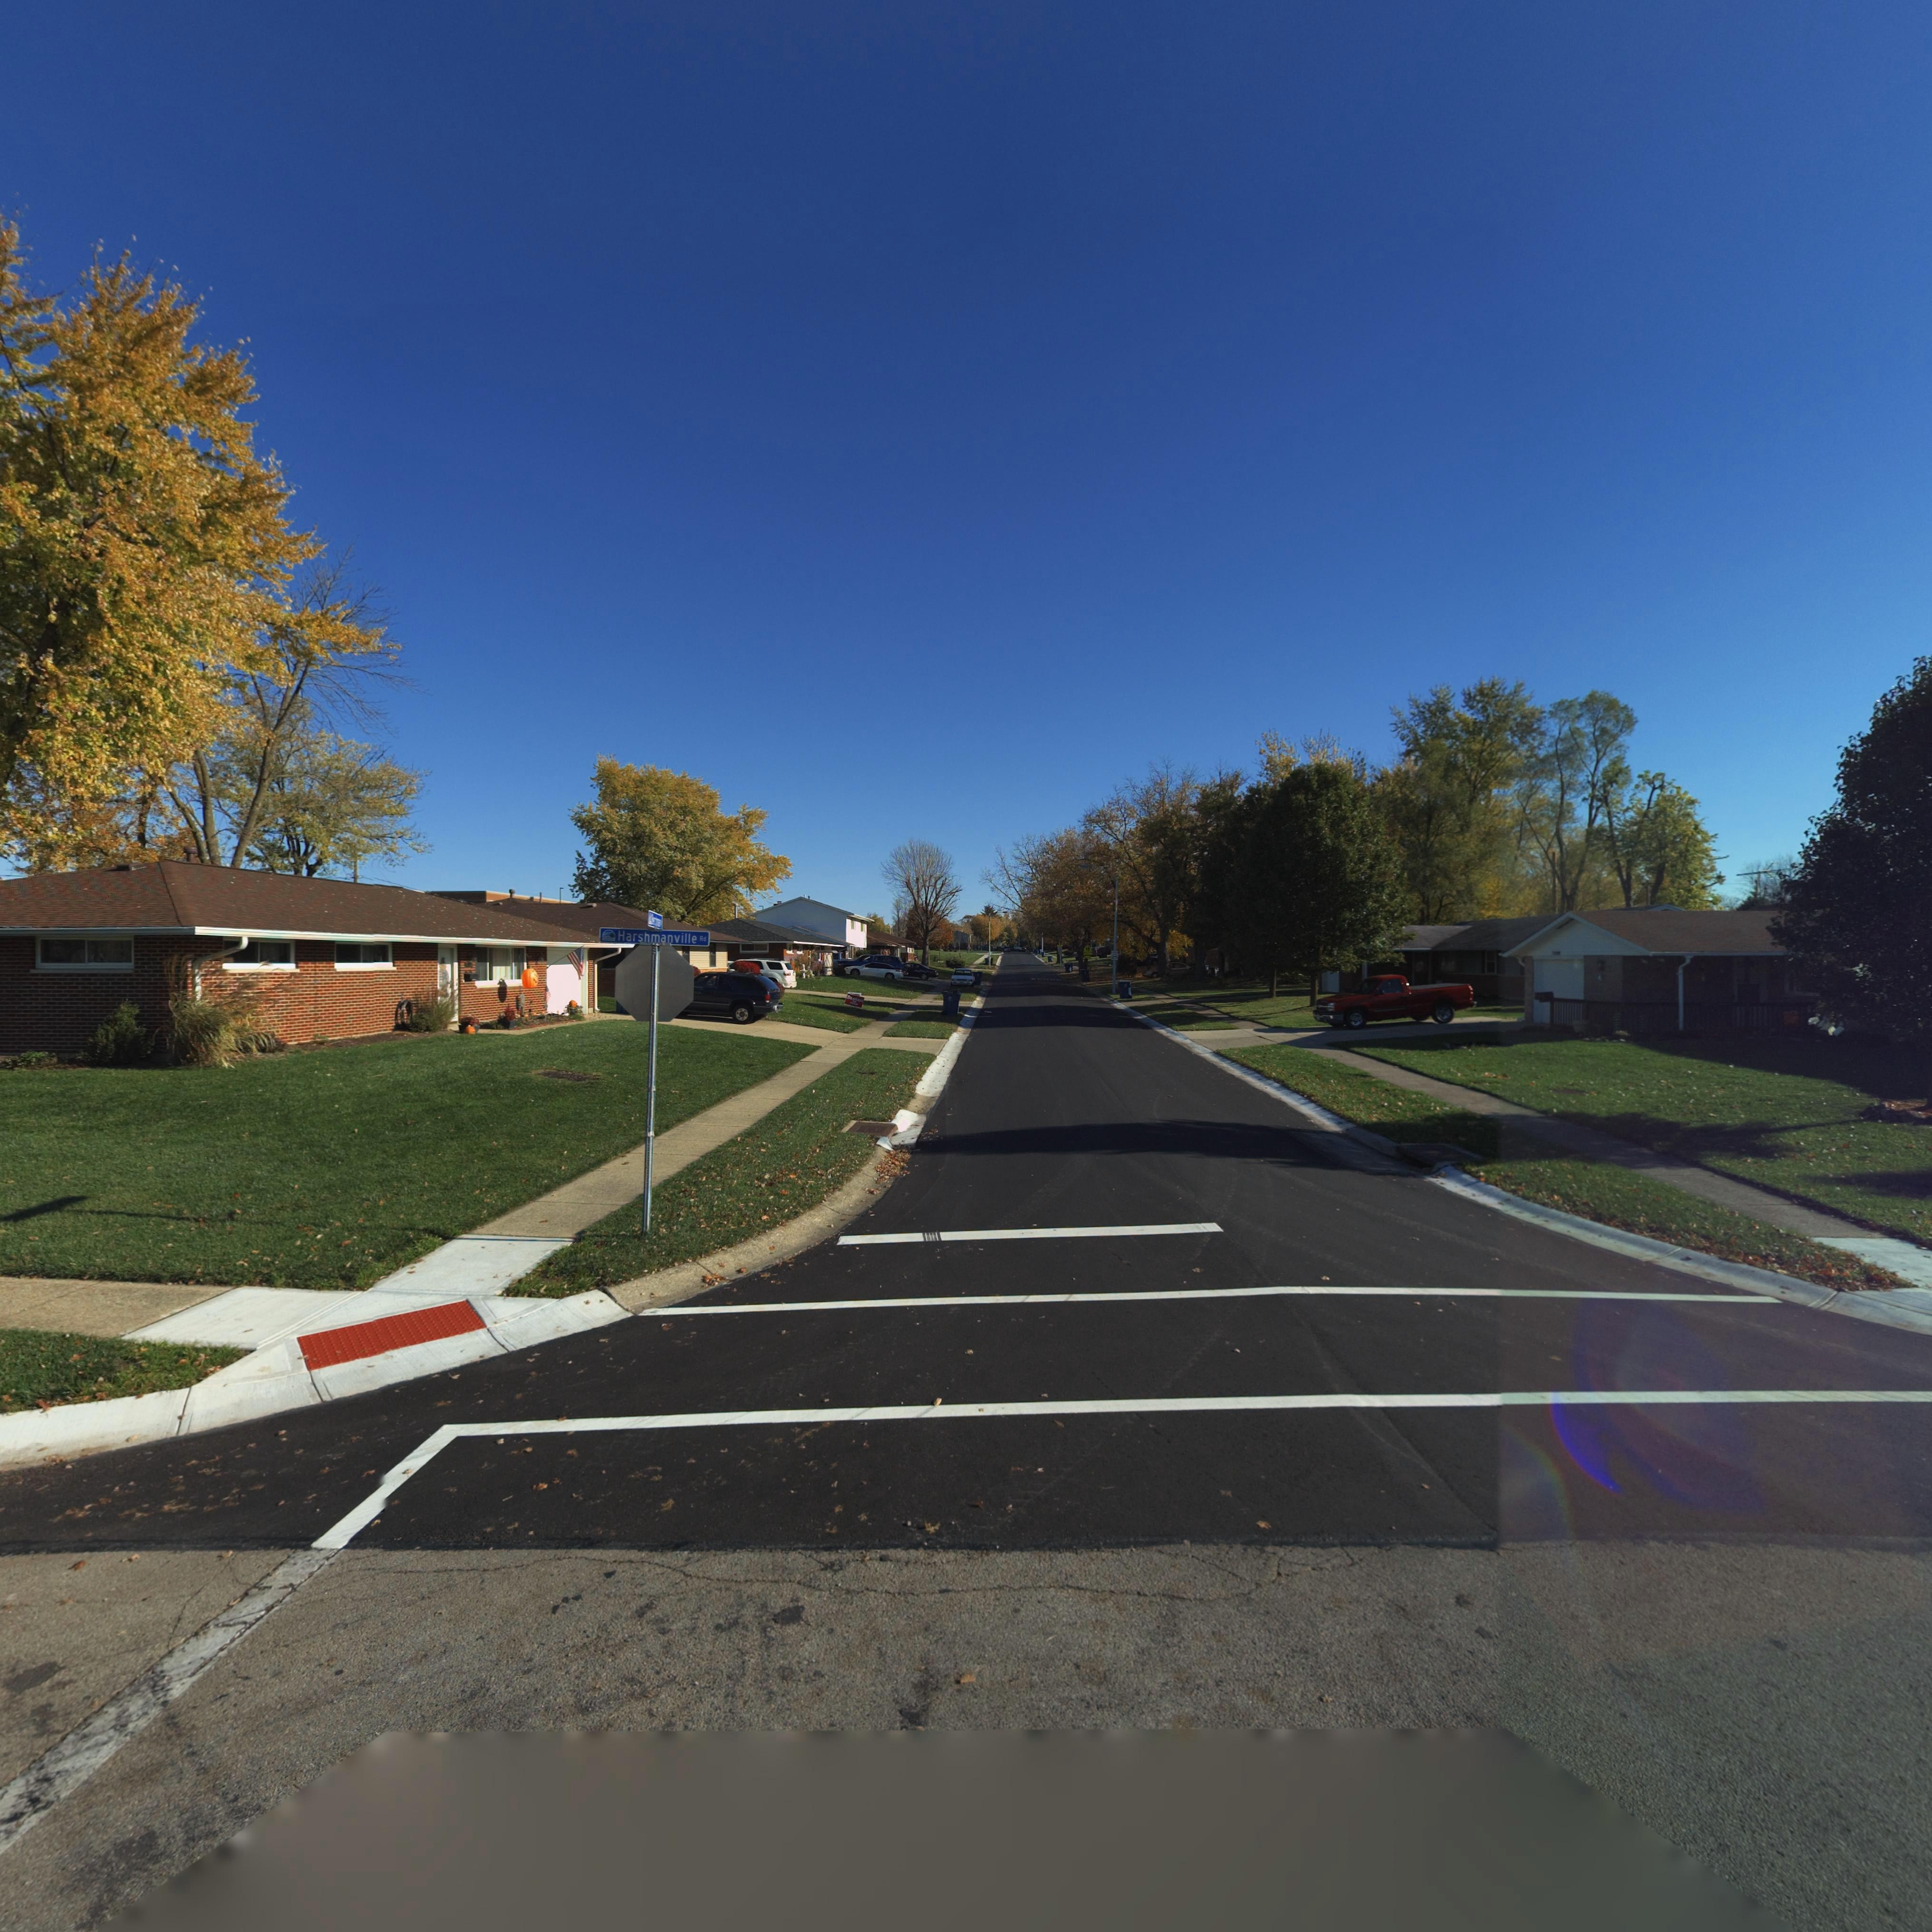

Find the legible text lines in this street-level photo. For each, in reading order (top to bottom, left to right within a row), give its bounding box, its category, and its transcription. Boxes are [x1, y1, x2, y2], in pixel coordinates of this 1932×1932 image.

[1551, 951, 1561, 956] StreetNumber: 7***